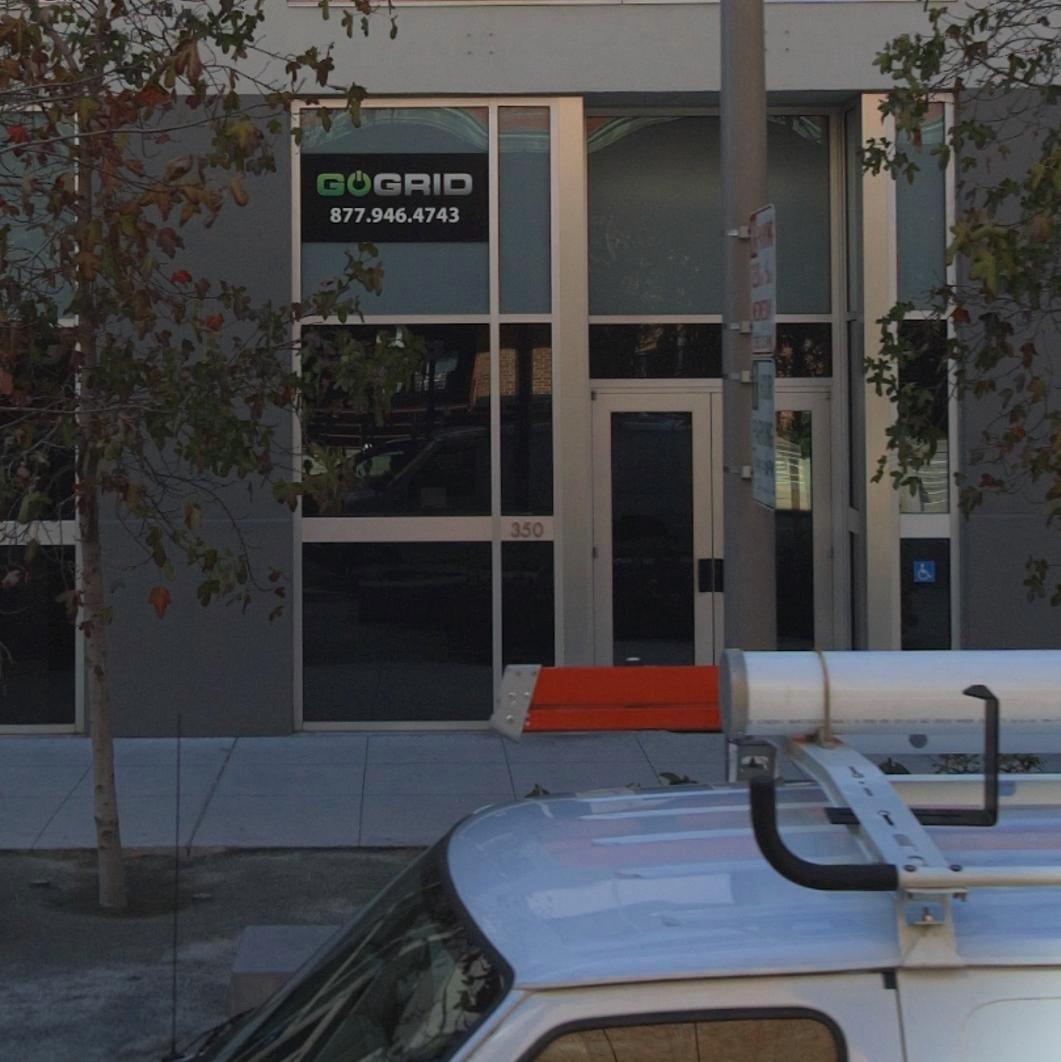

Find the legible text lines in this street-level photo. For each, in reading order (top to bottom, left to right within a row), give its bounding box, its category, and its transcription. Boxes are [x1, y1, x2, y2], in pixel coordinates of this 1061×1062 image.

[310, 168, 477, 200] BusinessName: G*GRID
[325, 201, 463, 226] None: 877.946.4743
[507, 519, 547, 540] StreetNumber: 350